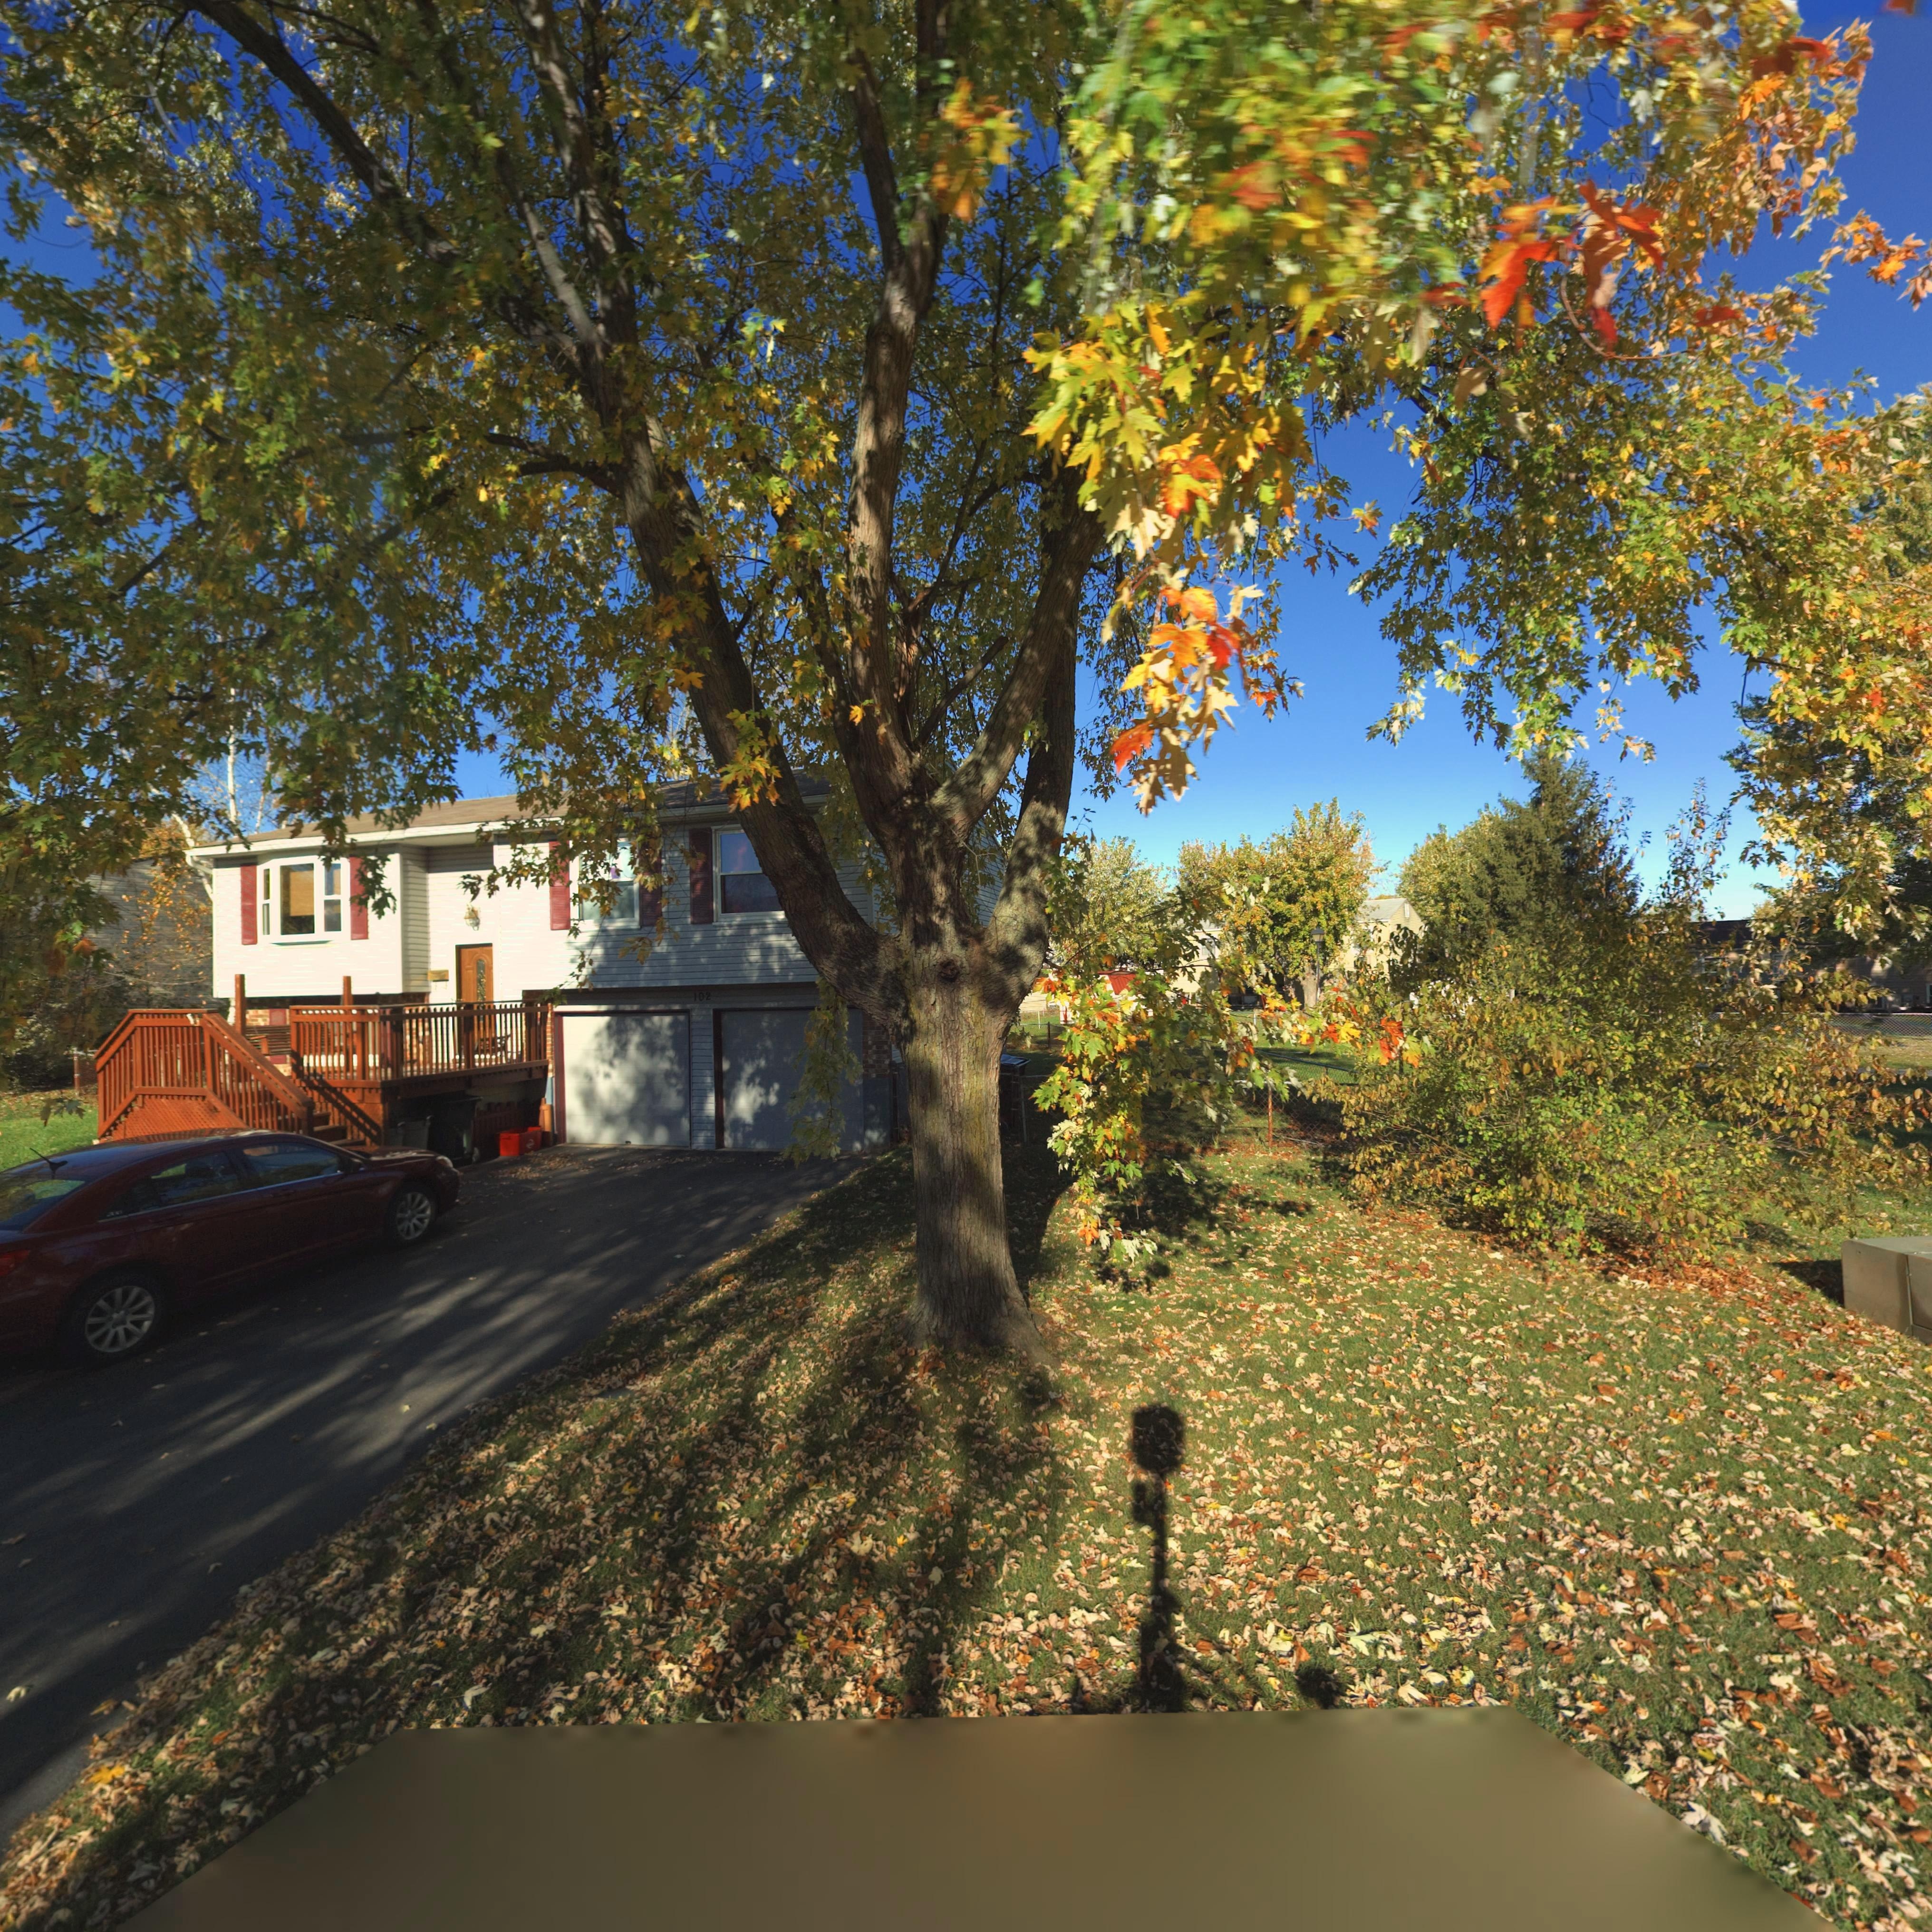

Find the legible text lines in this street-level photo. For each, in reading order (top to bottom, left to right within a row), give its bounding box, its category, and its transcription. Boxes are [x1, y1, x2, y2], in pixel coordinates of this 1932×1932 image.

[693, 991, 712, 1002] StreetNumber: 102